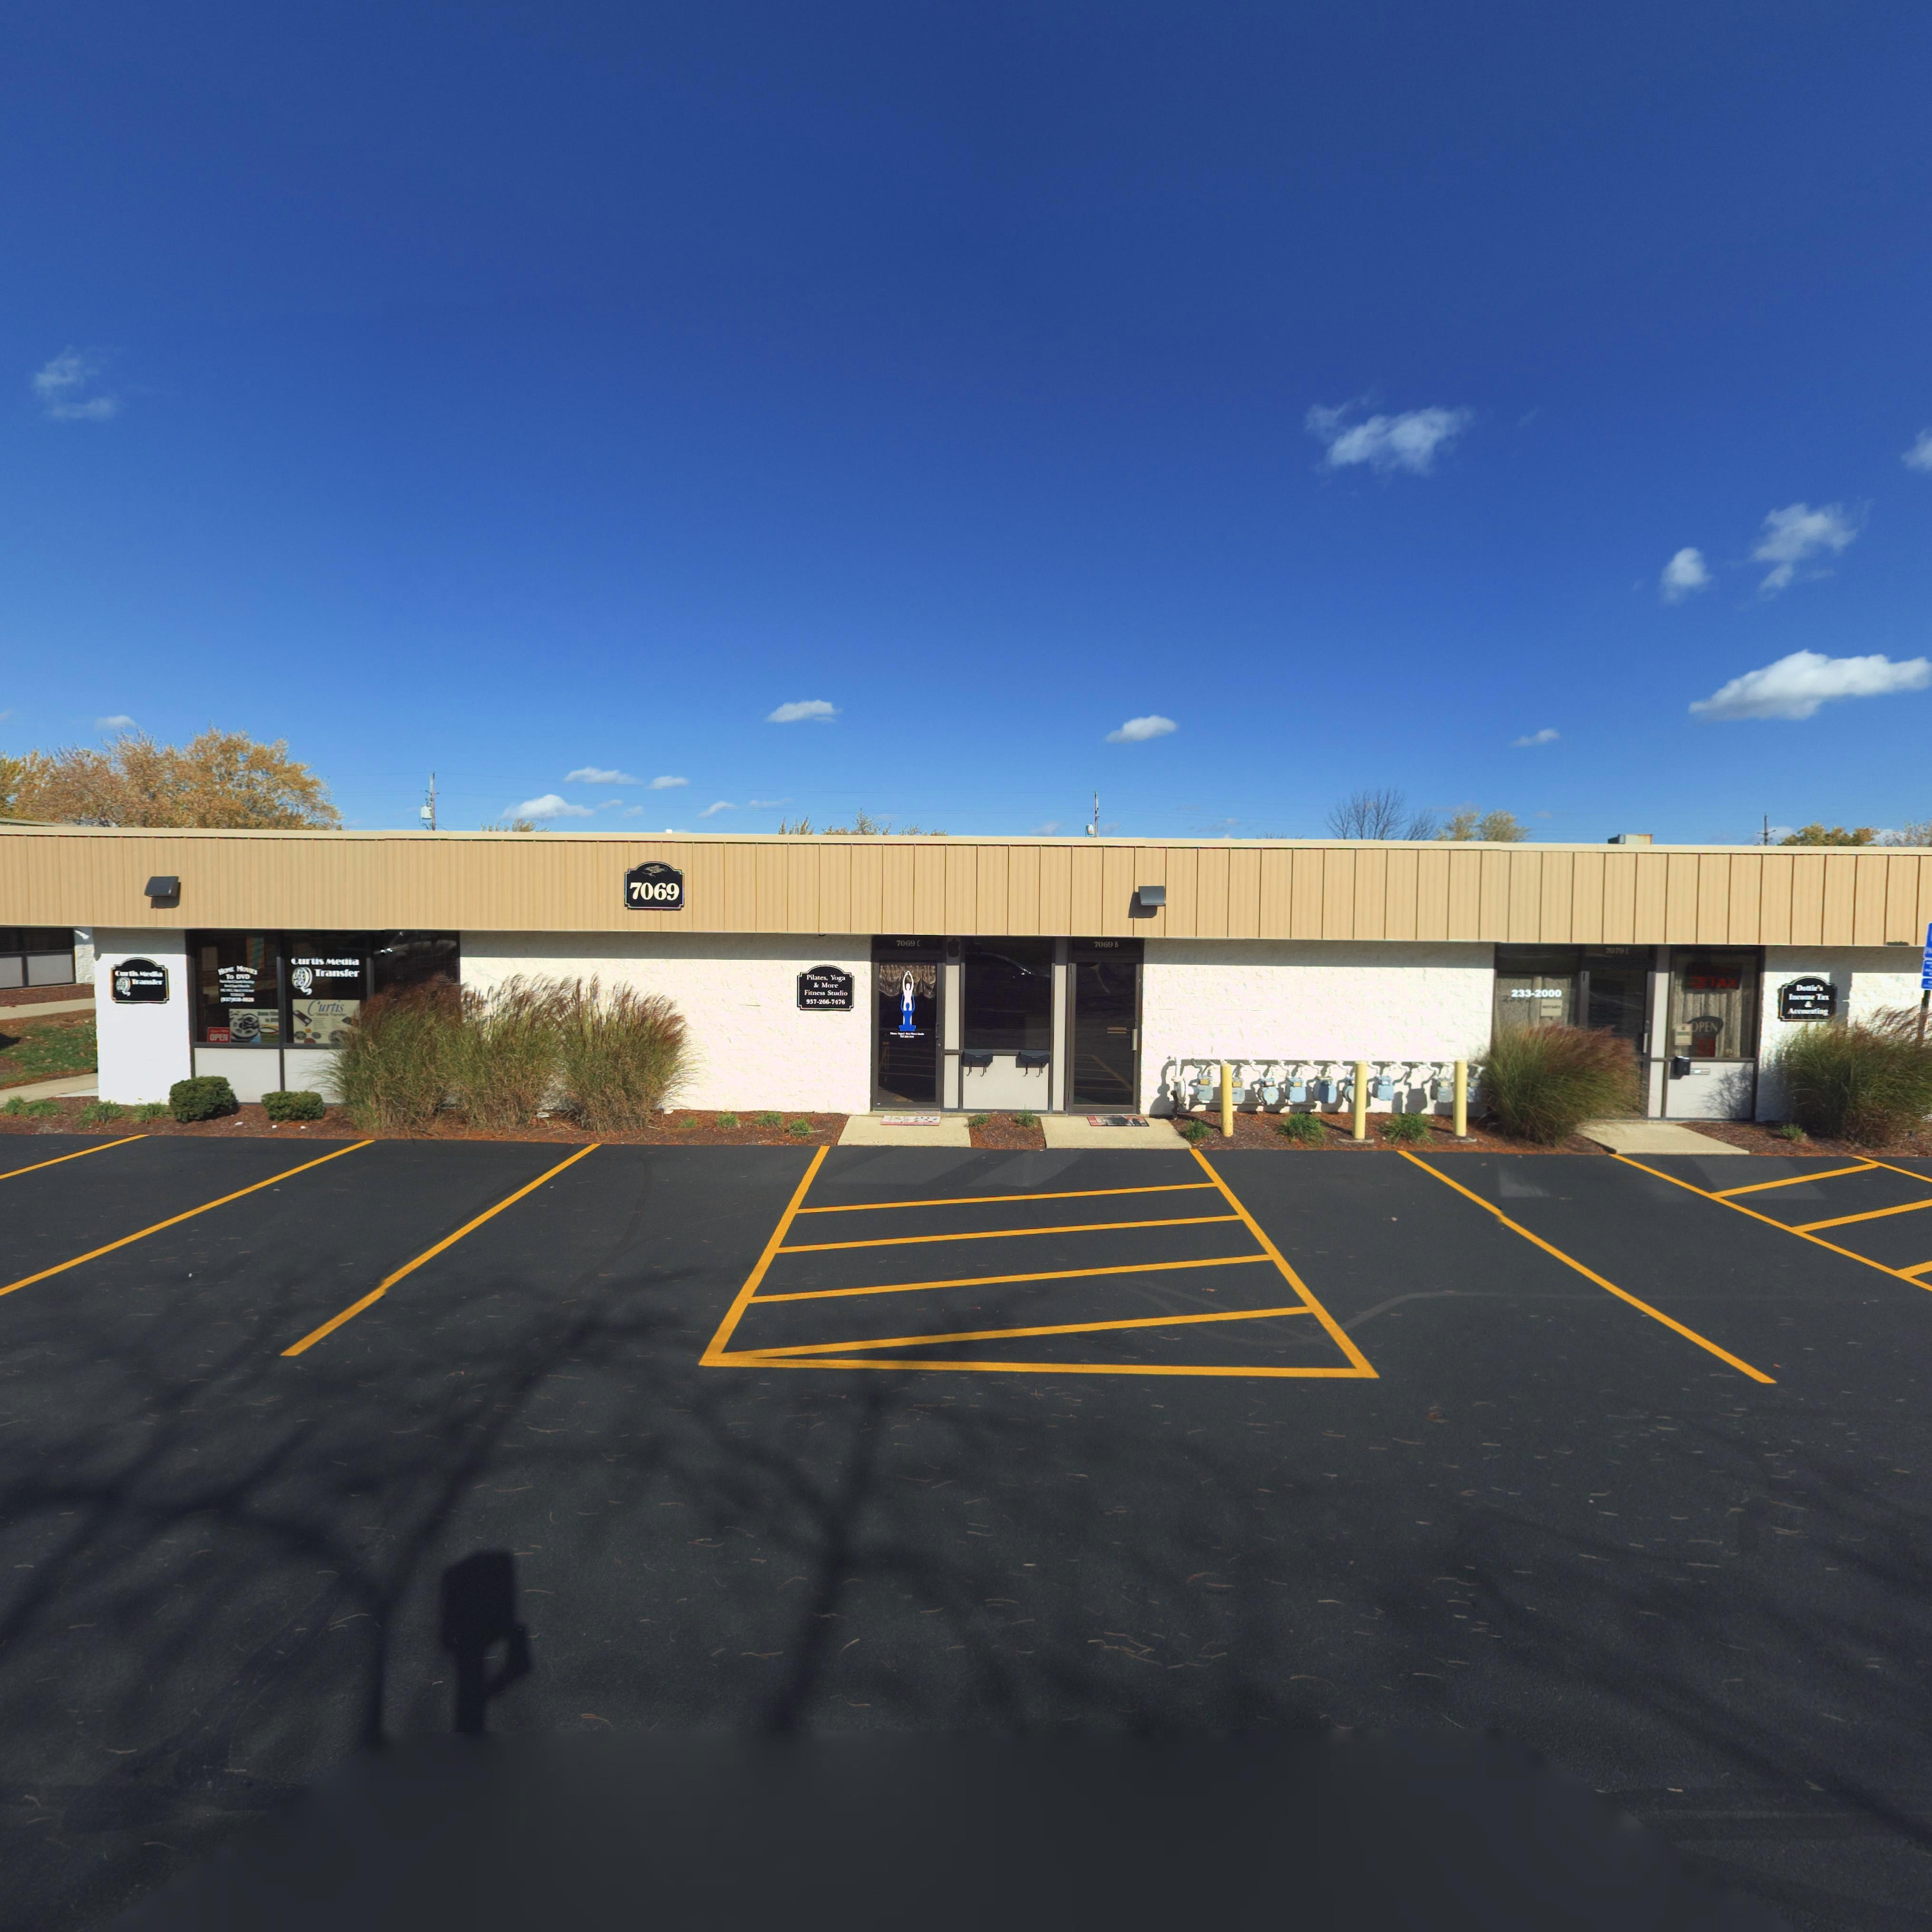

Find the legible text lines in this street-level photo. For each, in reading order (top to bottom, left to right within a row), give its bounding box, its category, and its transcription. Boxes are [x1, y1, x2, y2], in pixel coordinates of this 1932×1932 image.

[628, 881, 682, 902] StreetNumber: 7069
[895, 939, 922, 947] StreetNumber: 7069 C
[1093, 940, 1120, 949] StreetNumber: 7069 B
[1604, 946, 1631, 956] StreetNumber: 7079 *